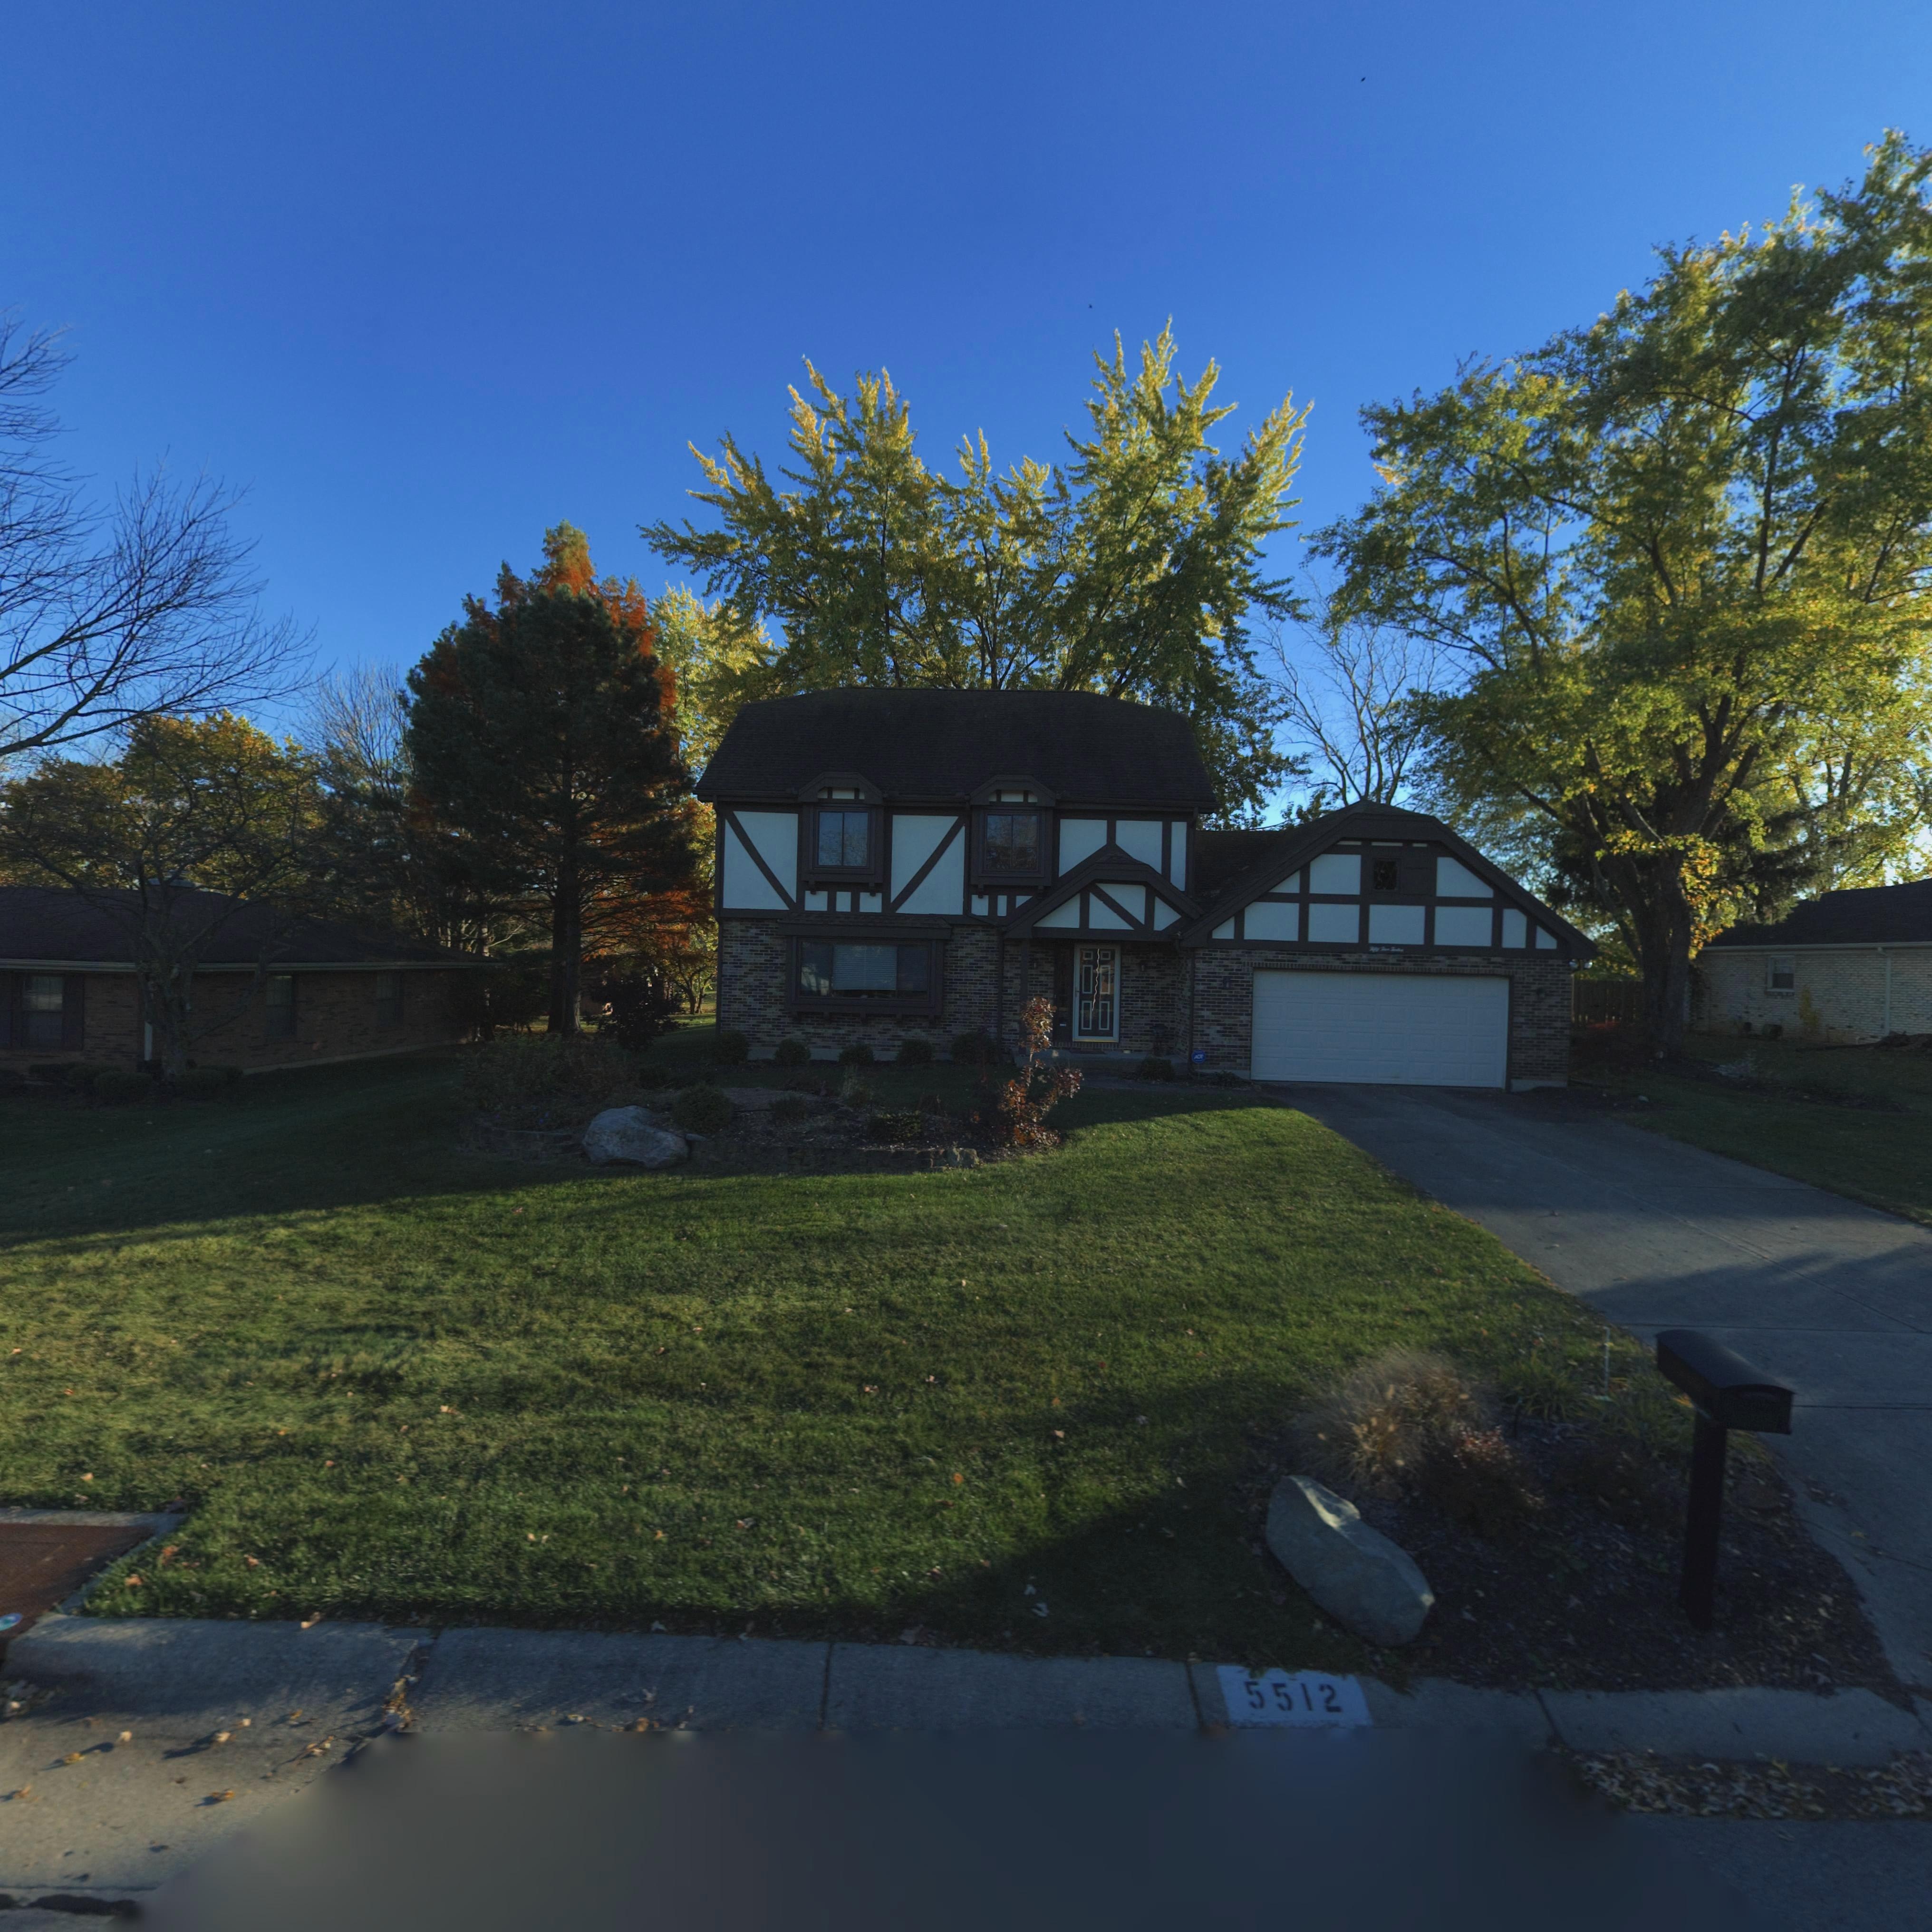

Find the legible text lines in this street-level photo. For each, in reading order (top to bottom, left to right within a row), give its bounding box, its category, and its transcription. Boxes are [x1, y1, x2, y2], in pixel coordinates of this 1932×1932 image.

[1241, 1679, 1344, 1714] StreetNumber: 5512